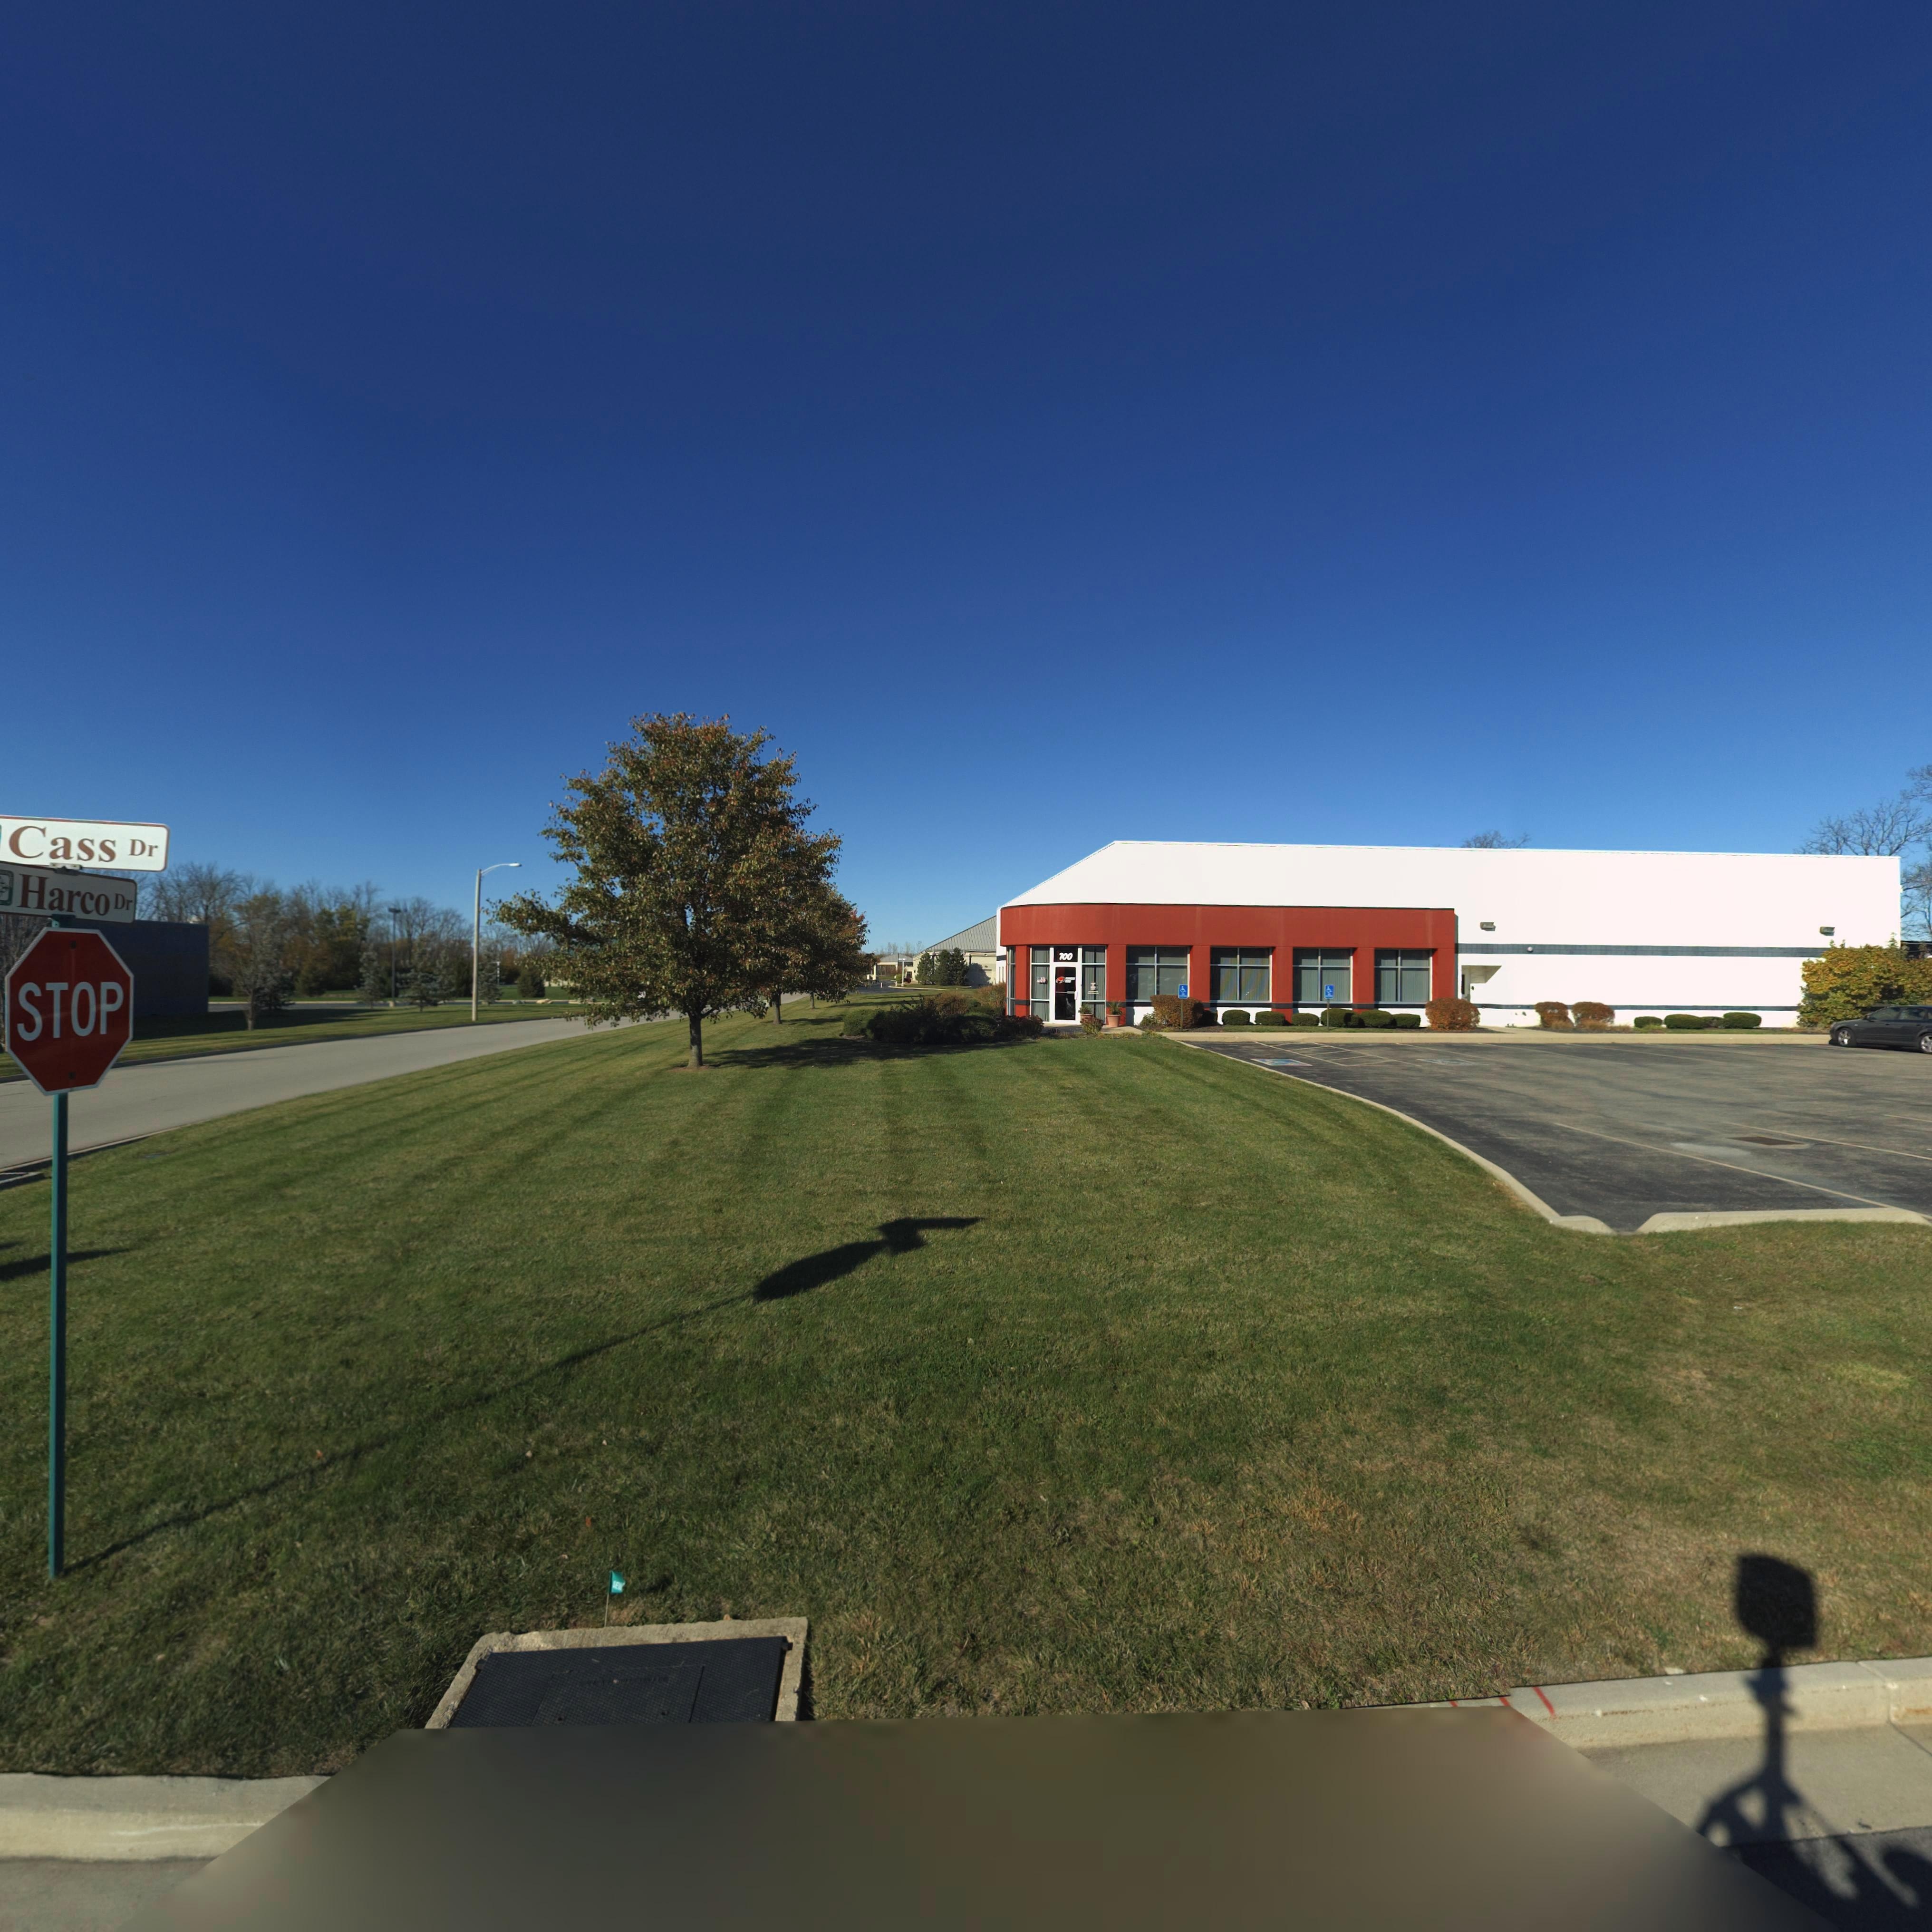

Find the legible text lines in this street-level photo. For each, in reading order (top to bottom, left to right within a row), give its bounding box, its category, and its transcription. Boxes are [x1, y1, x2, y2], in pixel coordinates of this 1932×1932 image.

[1059, 952, 1074, 961] StreetNumber: 700
[1036, 976, 1046, 984] StreetNumber: 700